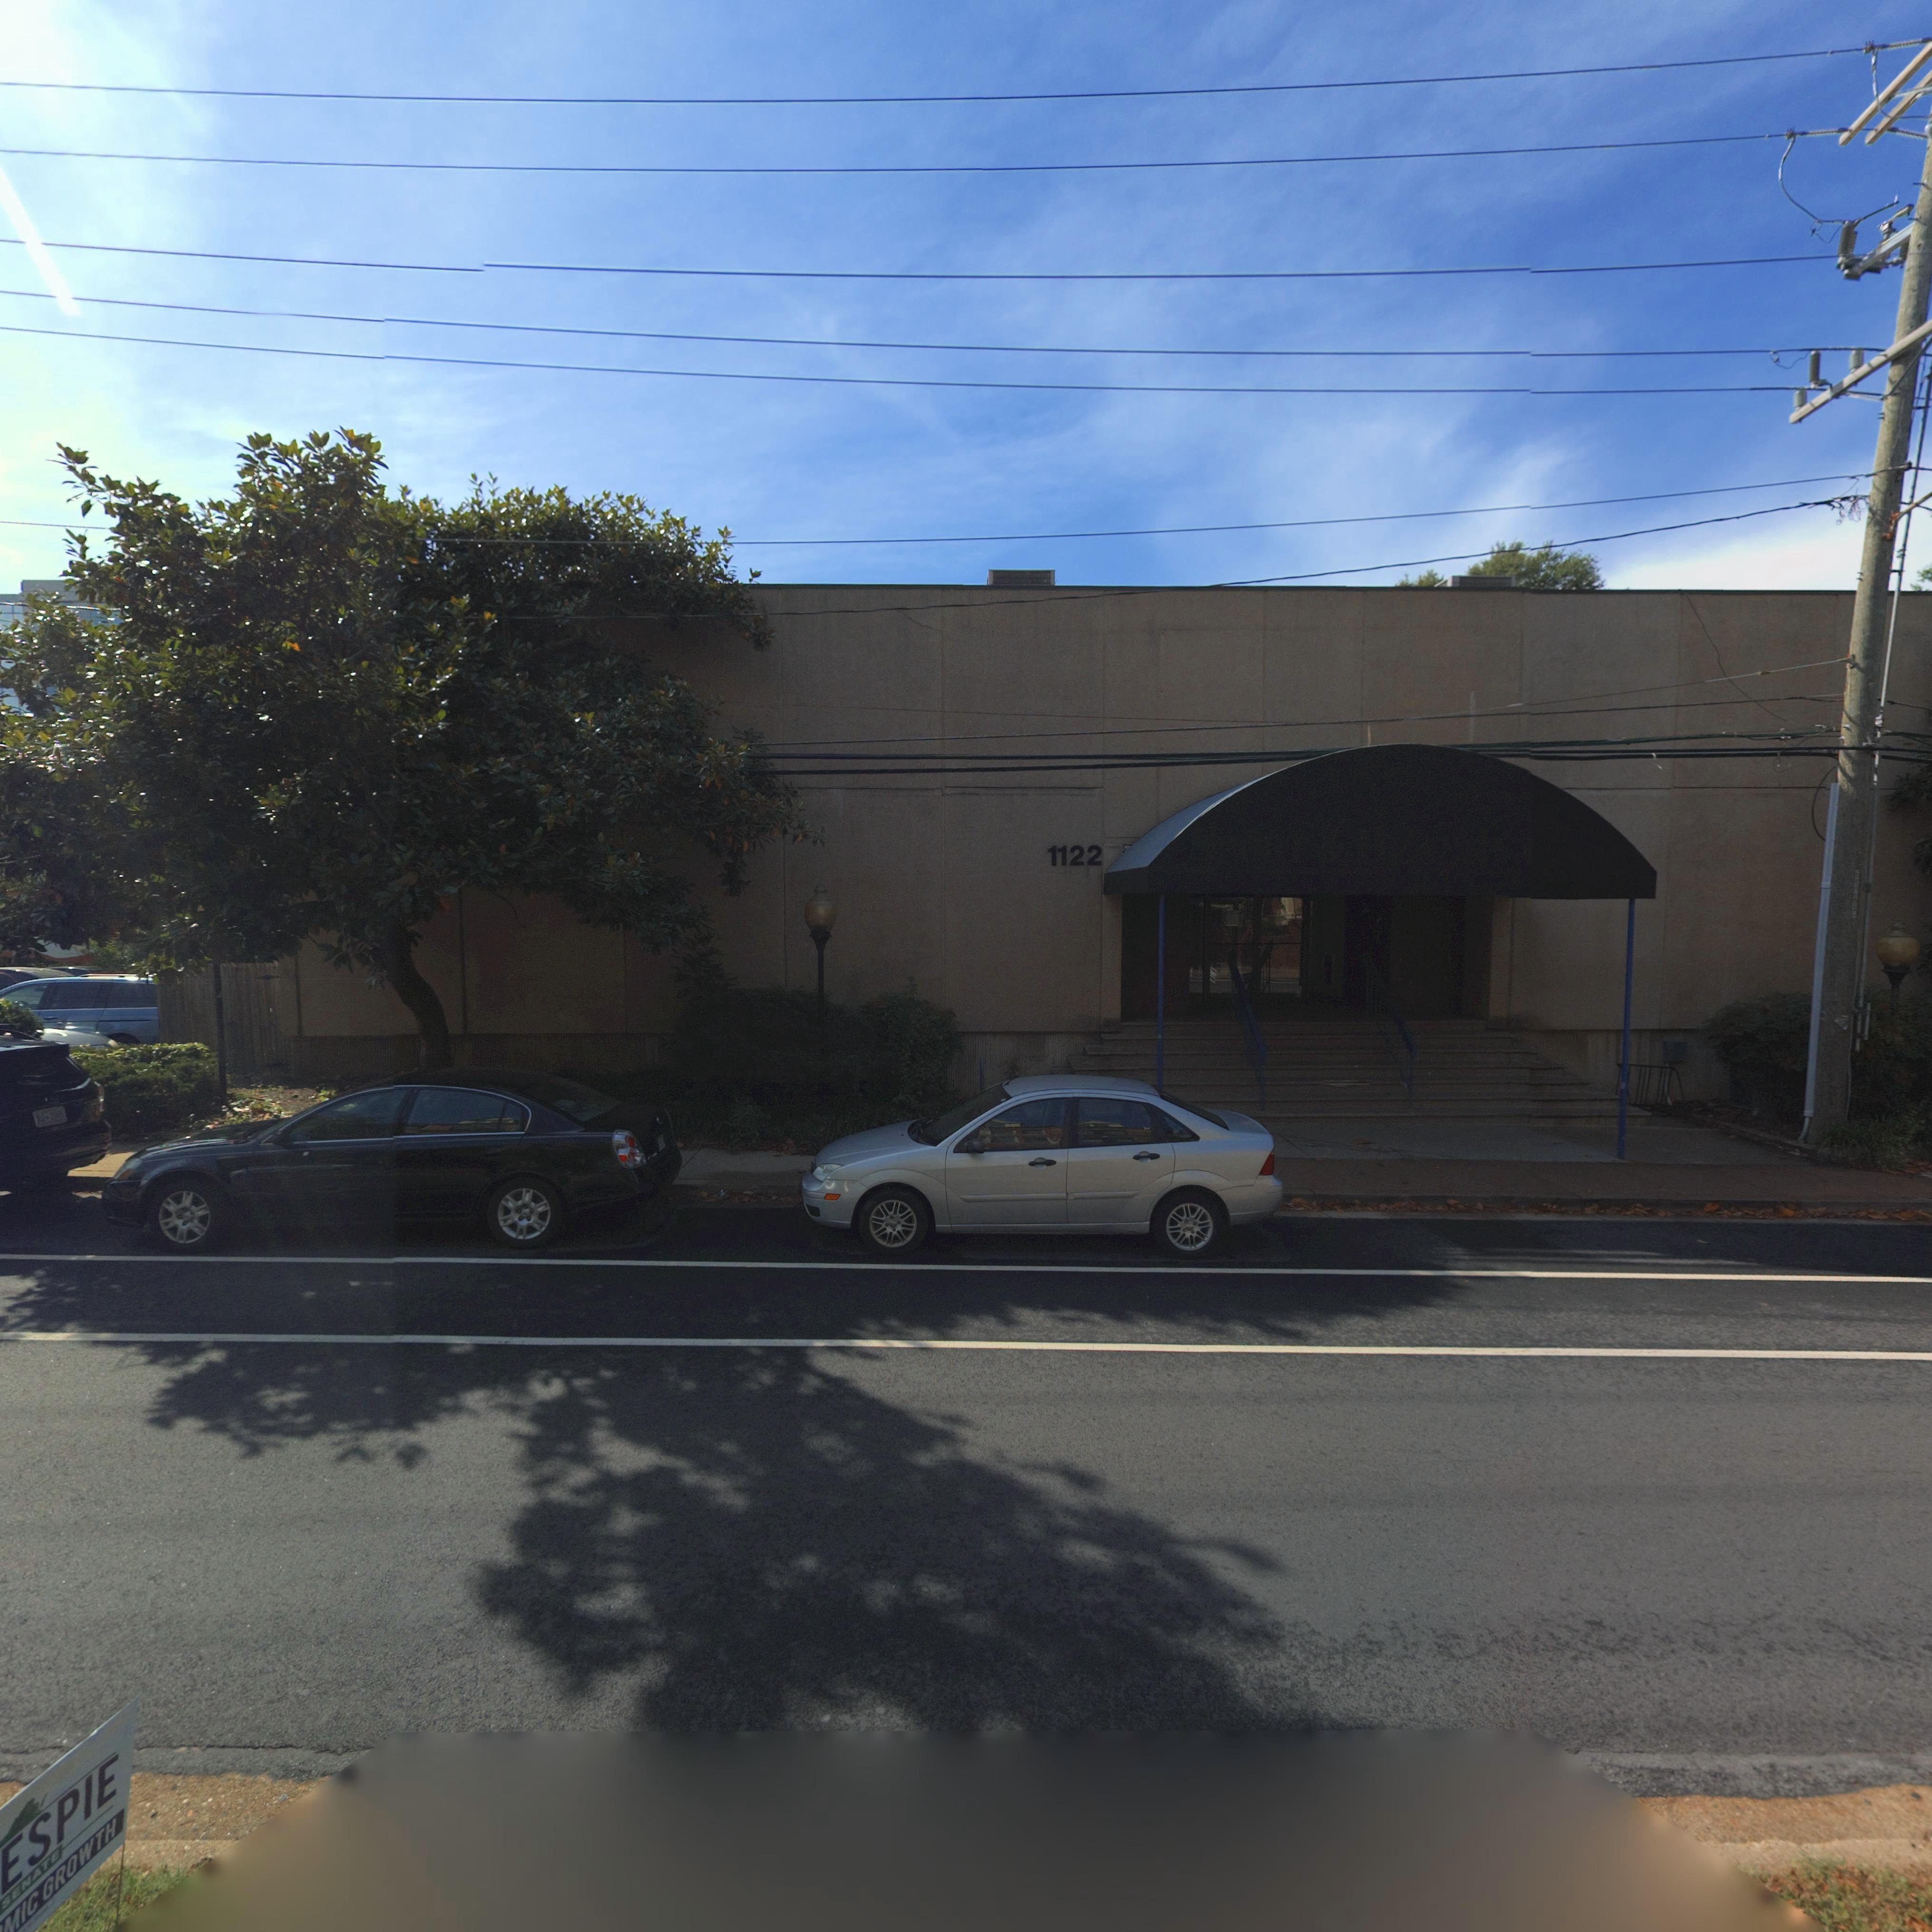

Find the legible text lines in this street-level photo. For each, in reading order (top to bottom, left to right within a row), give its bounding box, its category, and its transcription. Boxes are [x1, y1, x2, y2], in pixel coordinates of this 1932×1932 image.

[1046, 844, 1102, 867] StreetNumber: 1122
[35, 1109, 65, 1123] None: *J*234*
[0, 1753, 118, 1898] None: ESPIE
[0, 1847, 59, 1913] None: SENATE
[3, 1816, 116, 1932] None: MIC GROWTH